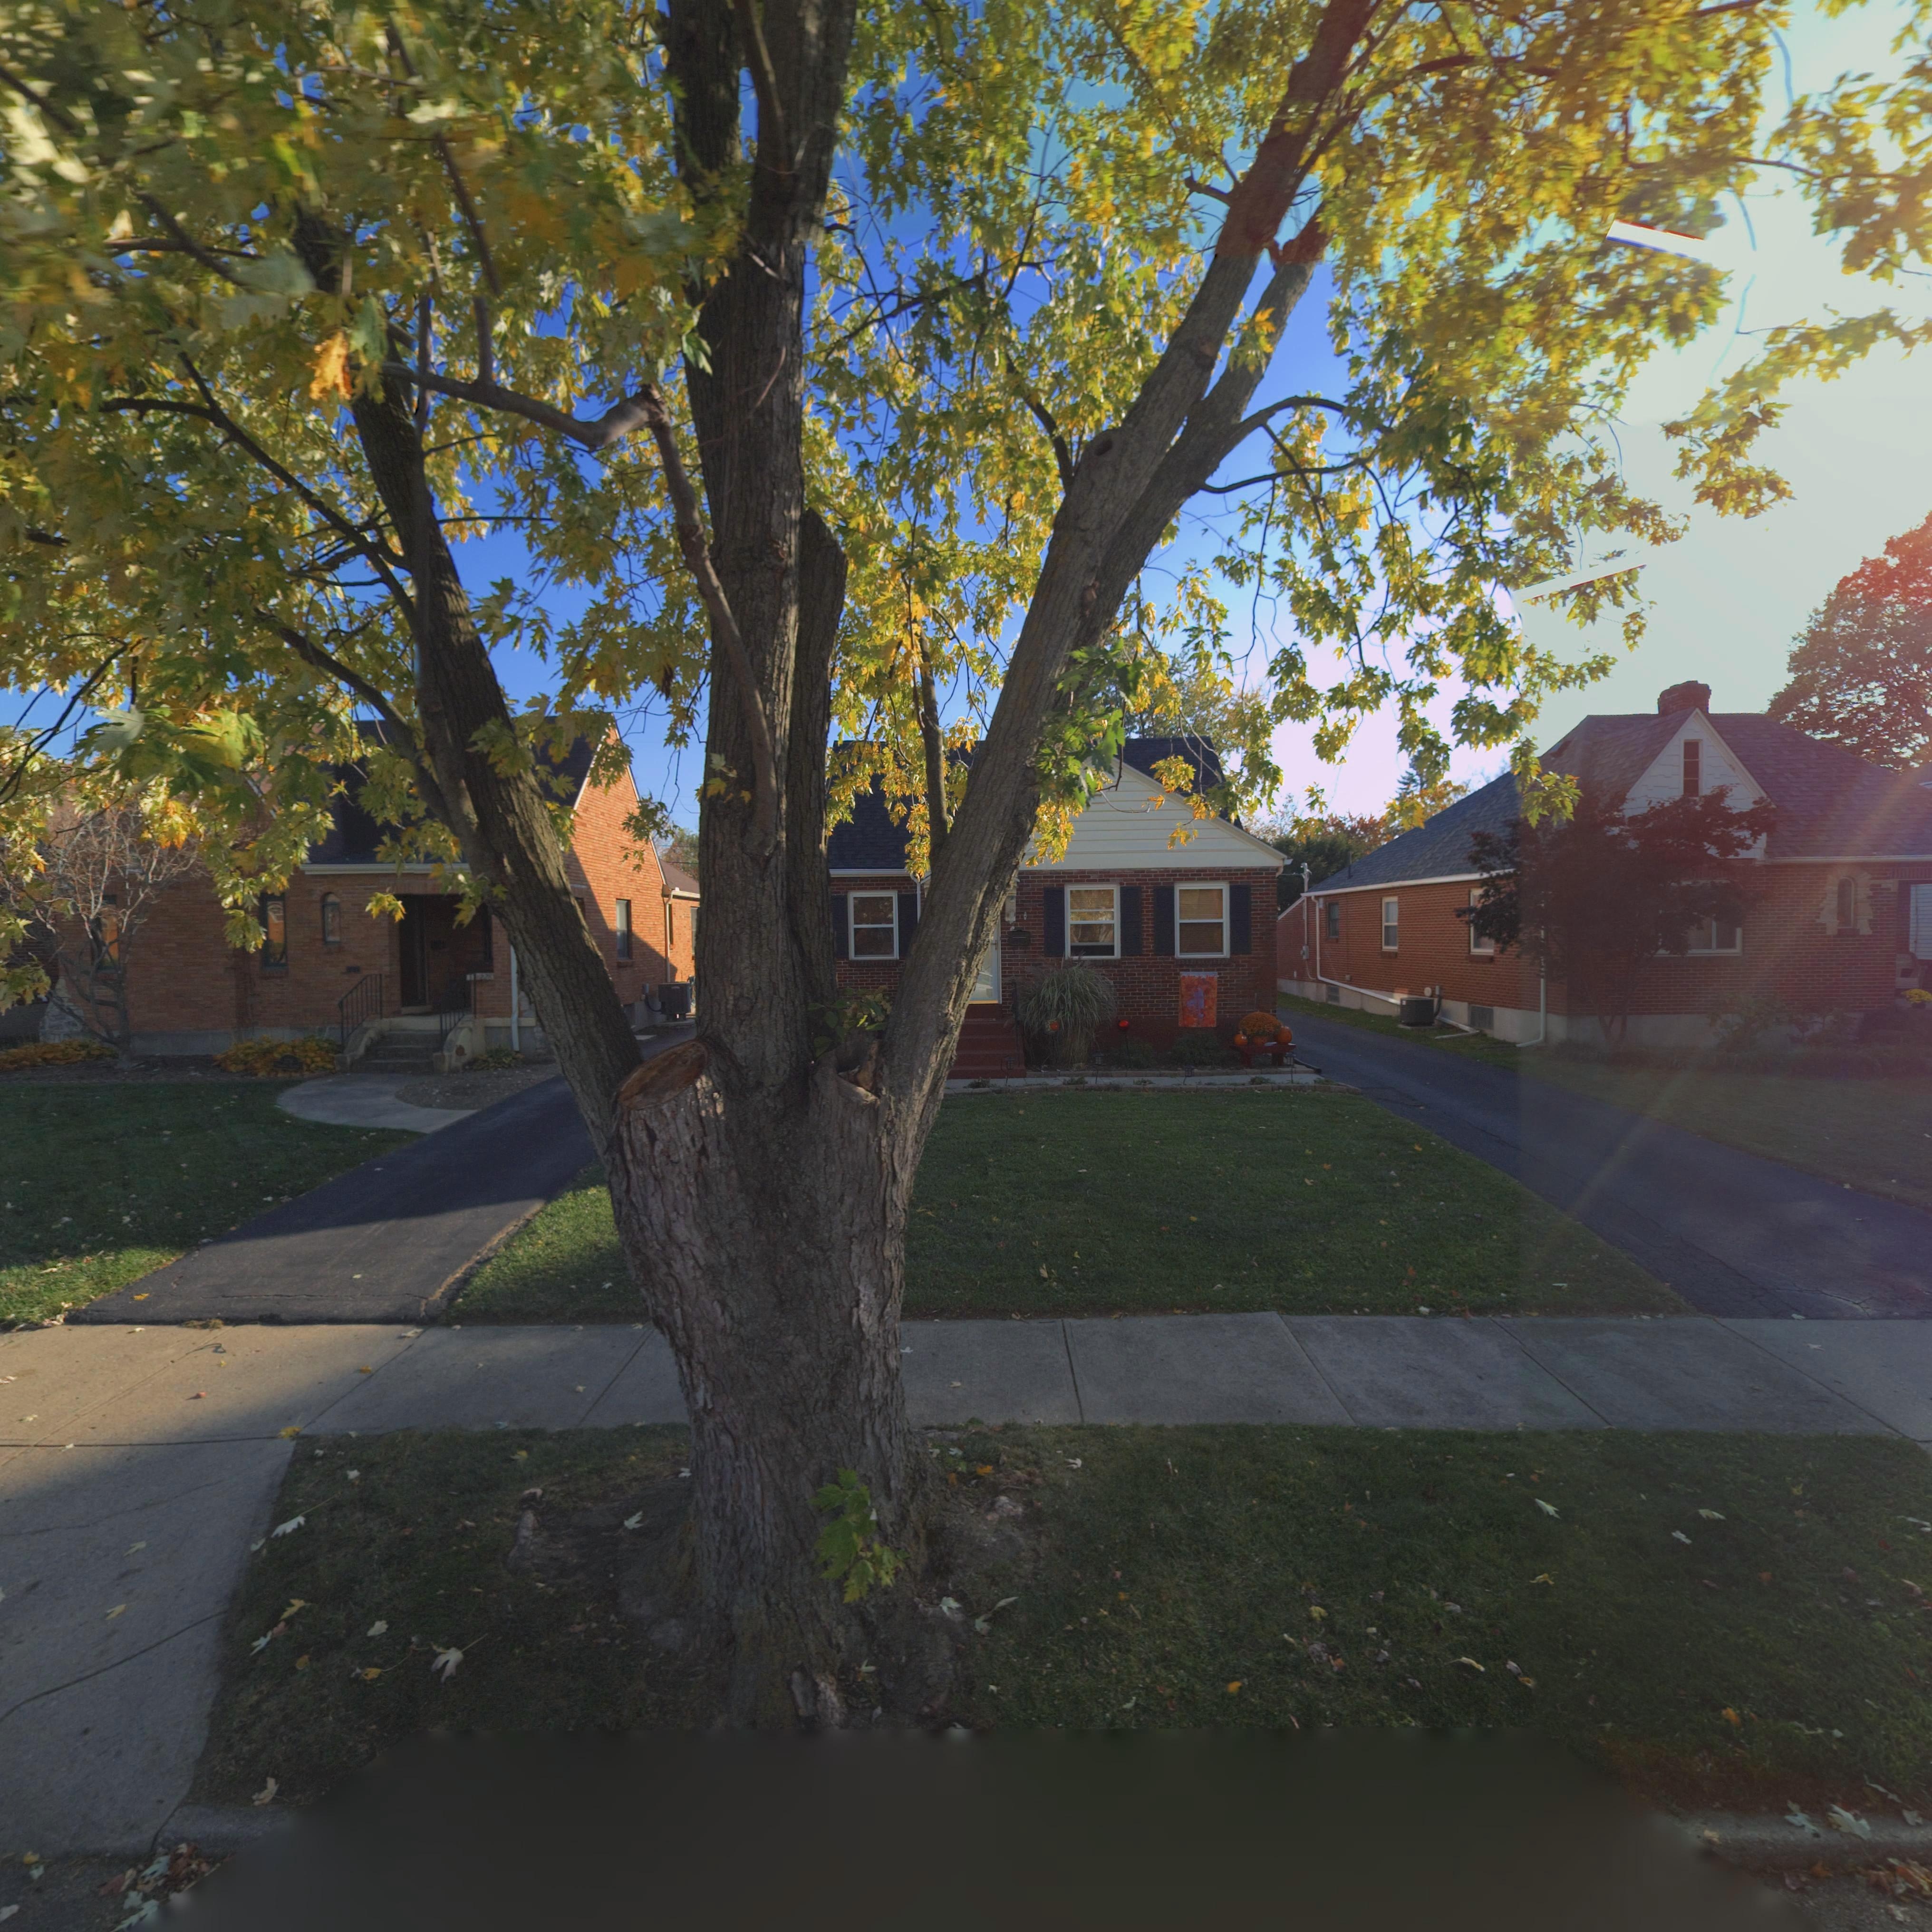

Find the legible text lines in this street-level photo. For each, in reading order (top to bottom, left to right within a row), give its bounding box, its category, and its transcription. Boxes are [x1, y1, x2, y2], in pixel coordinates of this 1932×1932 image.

[479, 973, 493, 981] StreetNumber: 22*